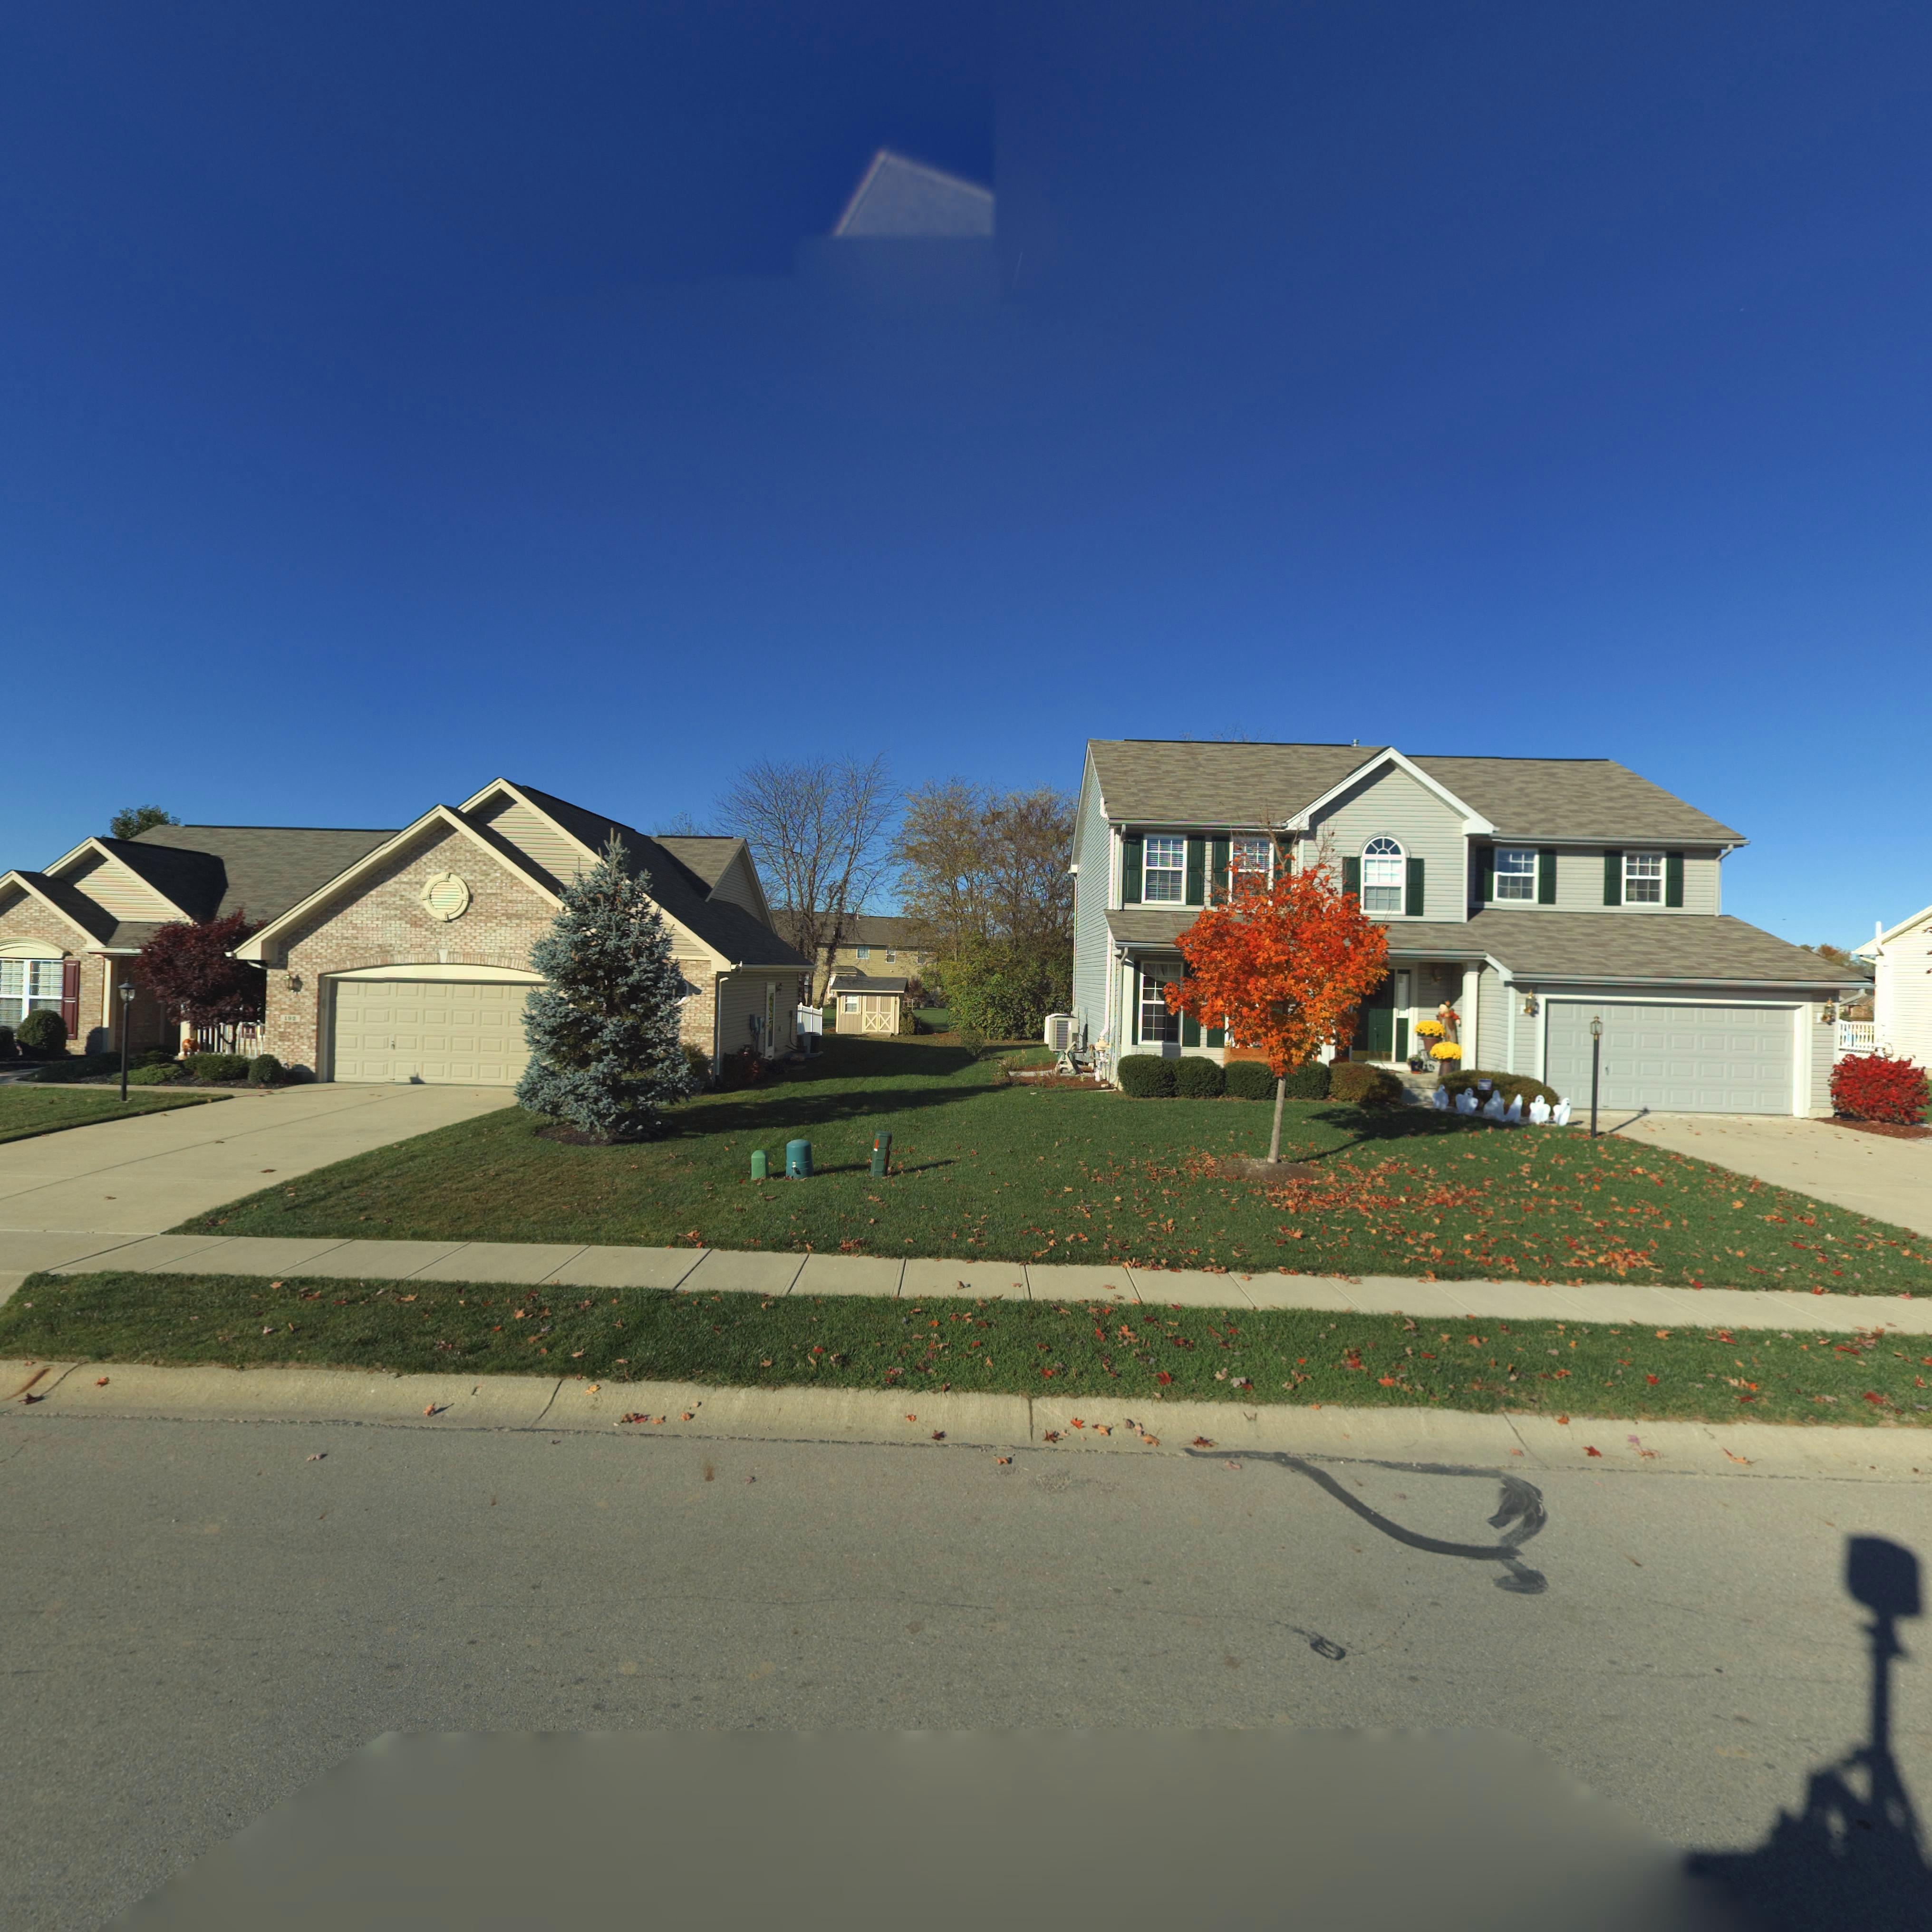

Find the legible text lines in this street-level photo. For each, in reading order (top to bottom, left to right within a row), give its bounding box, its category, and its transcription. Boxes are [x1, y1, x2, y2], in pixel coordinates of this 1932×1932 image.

[283, 1015, 297, 1022] StreetNumber: 192